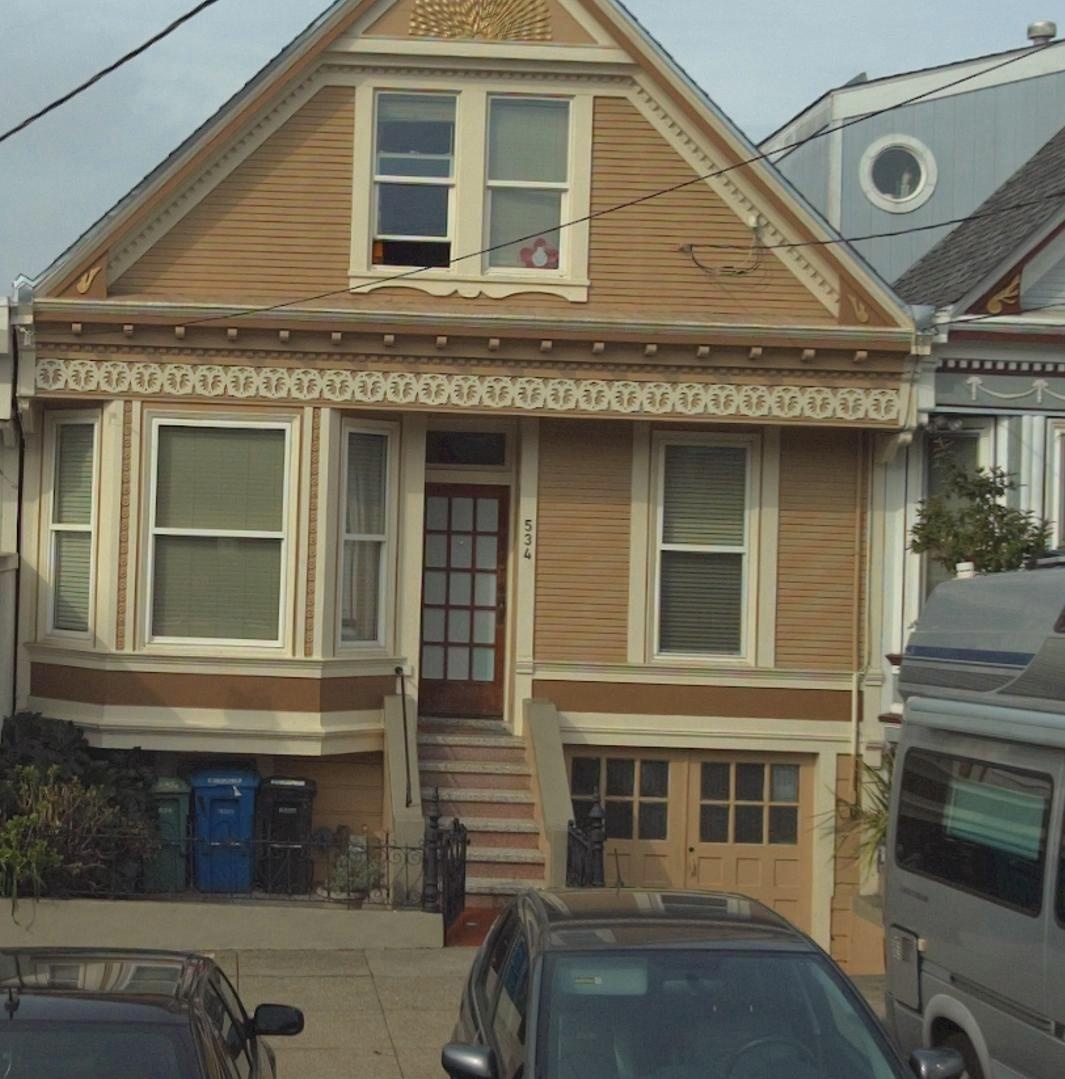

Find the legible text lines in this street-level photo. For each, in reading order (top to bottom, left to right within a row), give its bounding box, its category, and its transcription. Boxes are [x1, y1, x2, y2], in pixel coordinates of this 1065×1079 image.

[522, 517, 533, 562] StreetNumber: 534